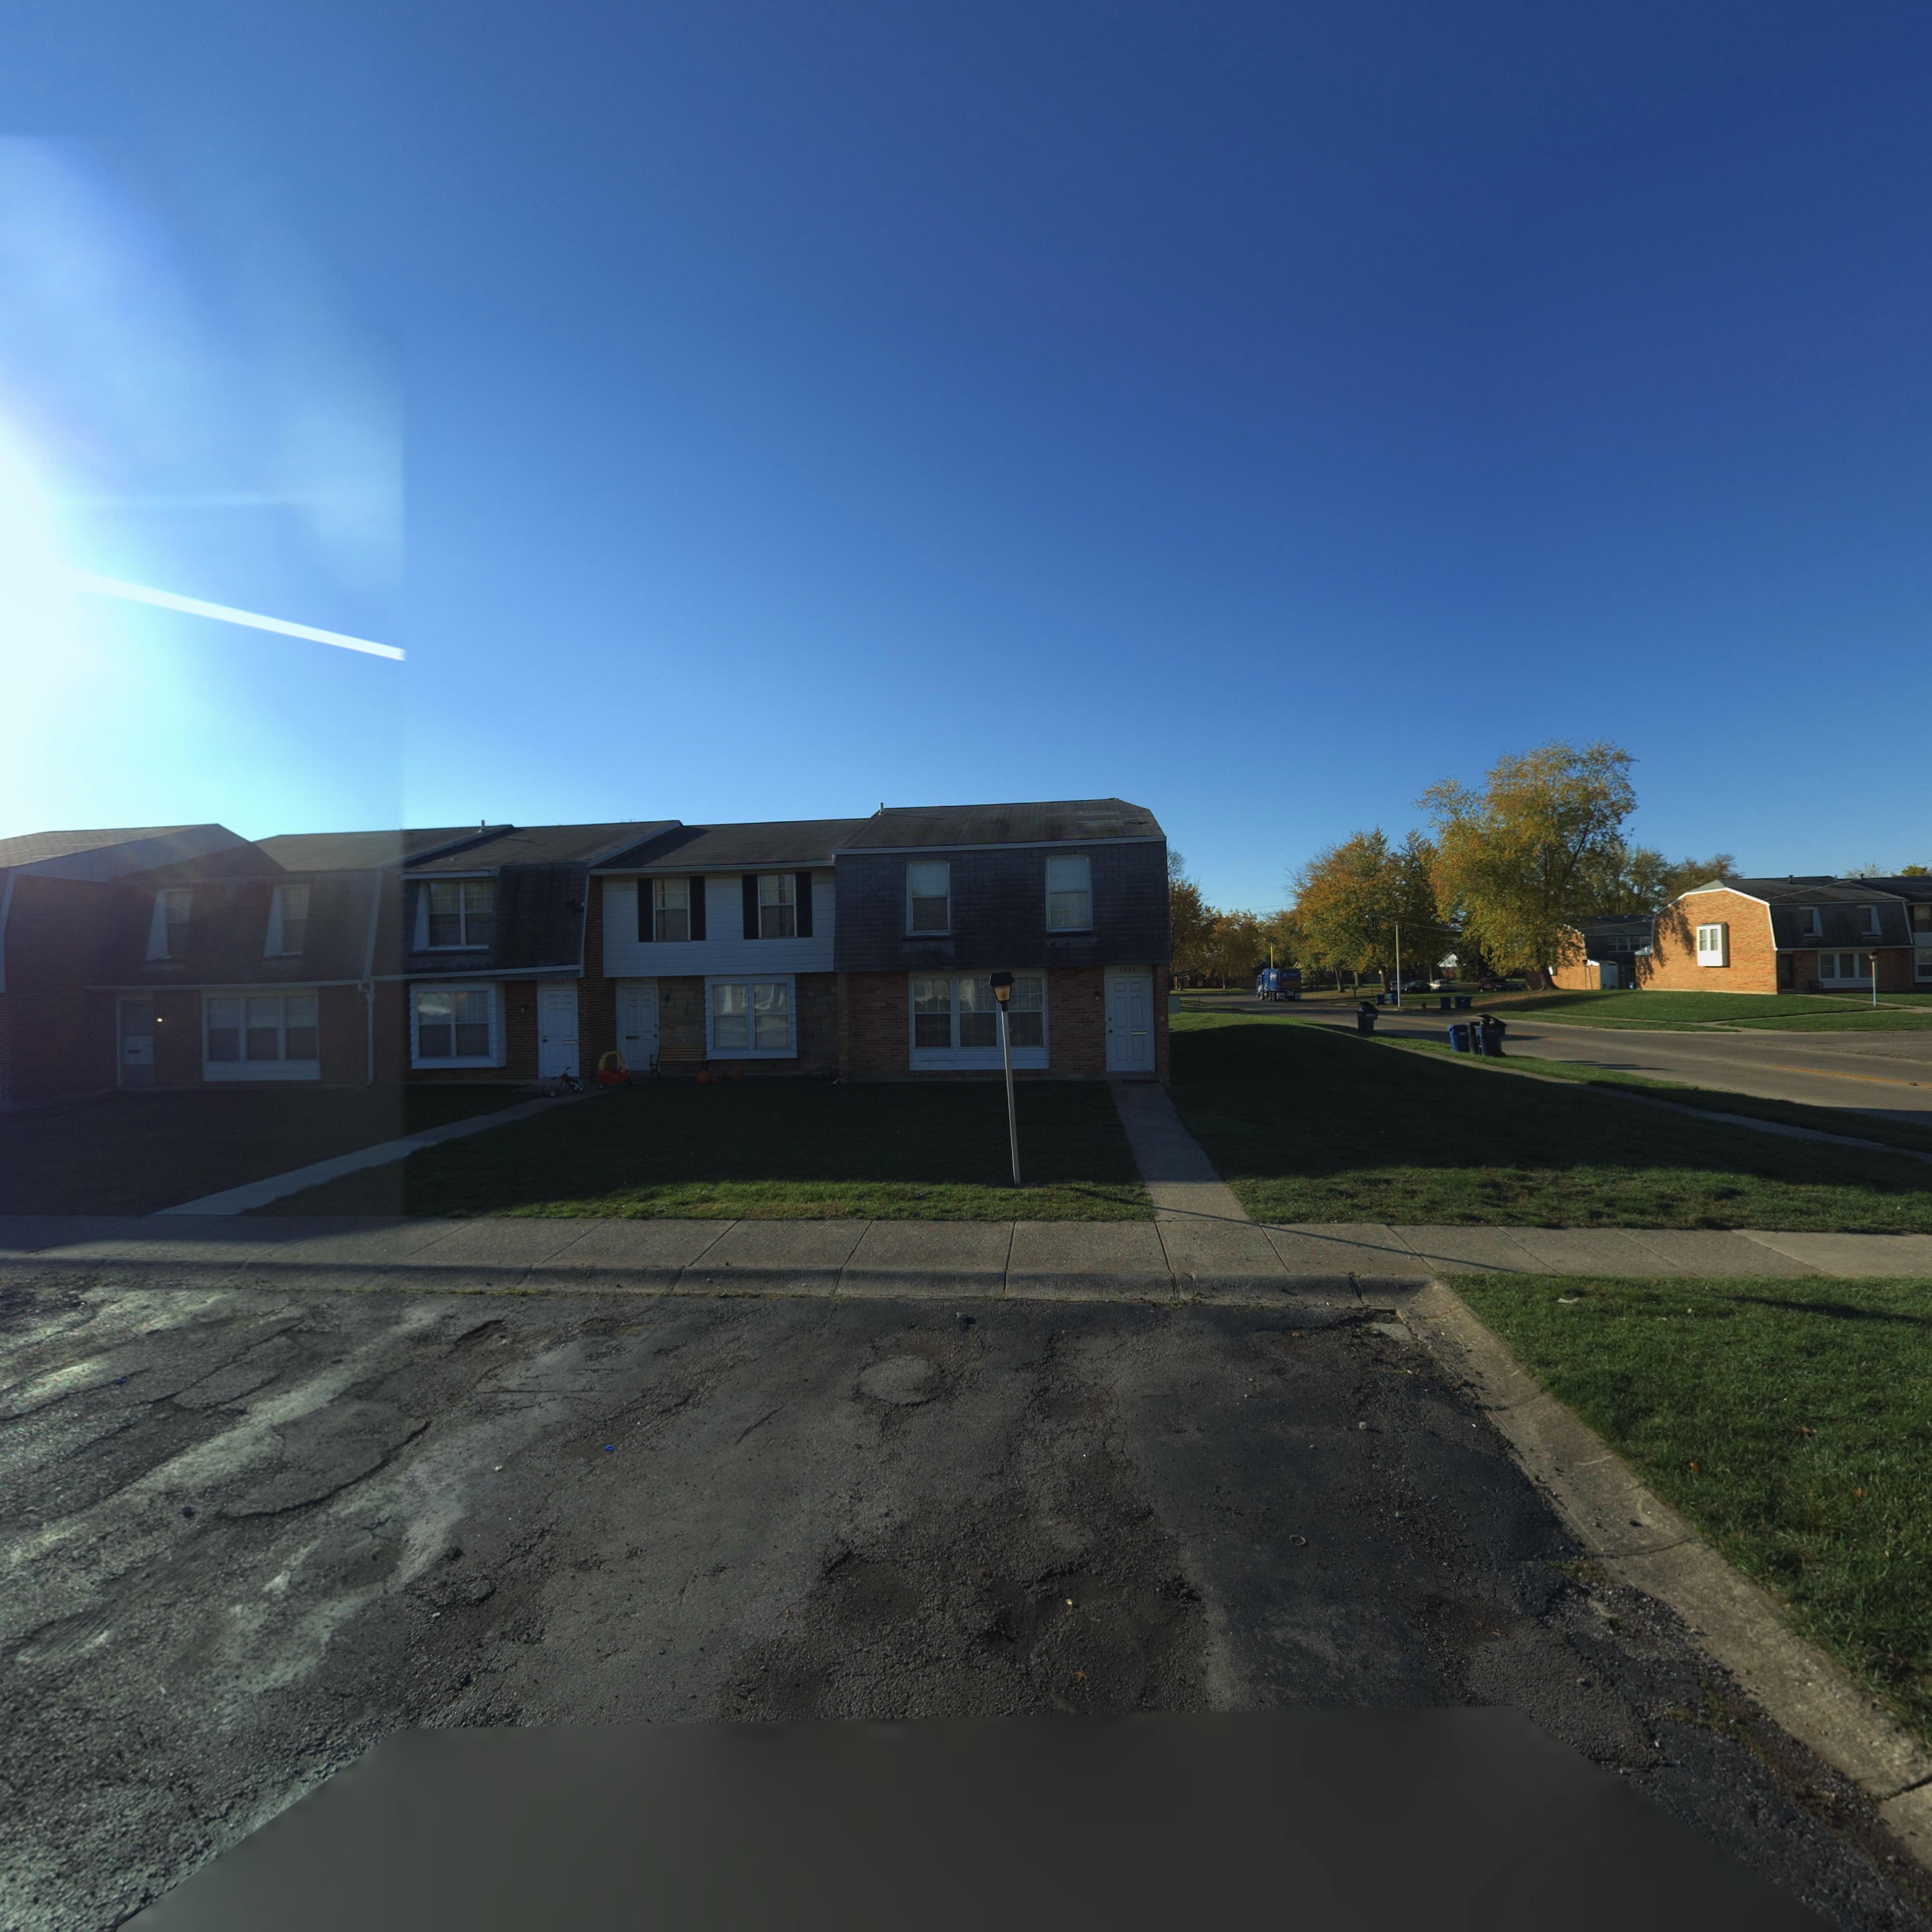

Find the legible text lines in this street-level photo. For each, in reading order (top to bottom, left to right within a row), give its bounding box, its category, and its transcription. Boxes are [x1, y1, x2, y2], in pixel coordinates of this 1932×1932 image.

[1120, 966, 1136, 972] StreetNumber: 7582
[549, 979, 565, 986] StreetNumber: 75**
[630, 978, 644, 983] StreetNumber: **84